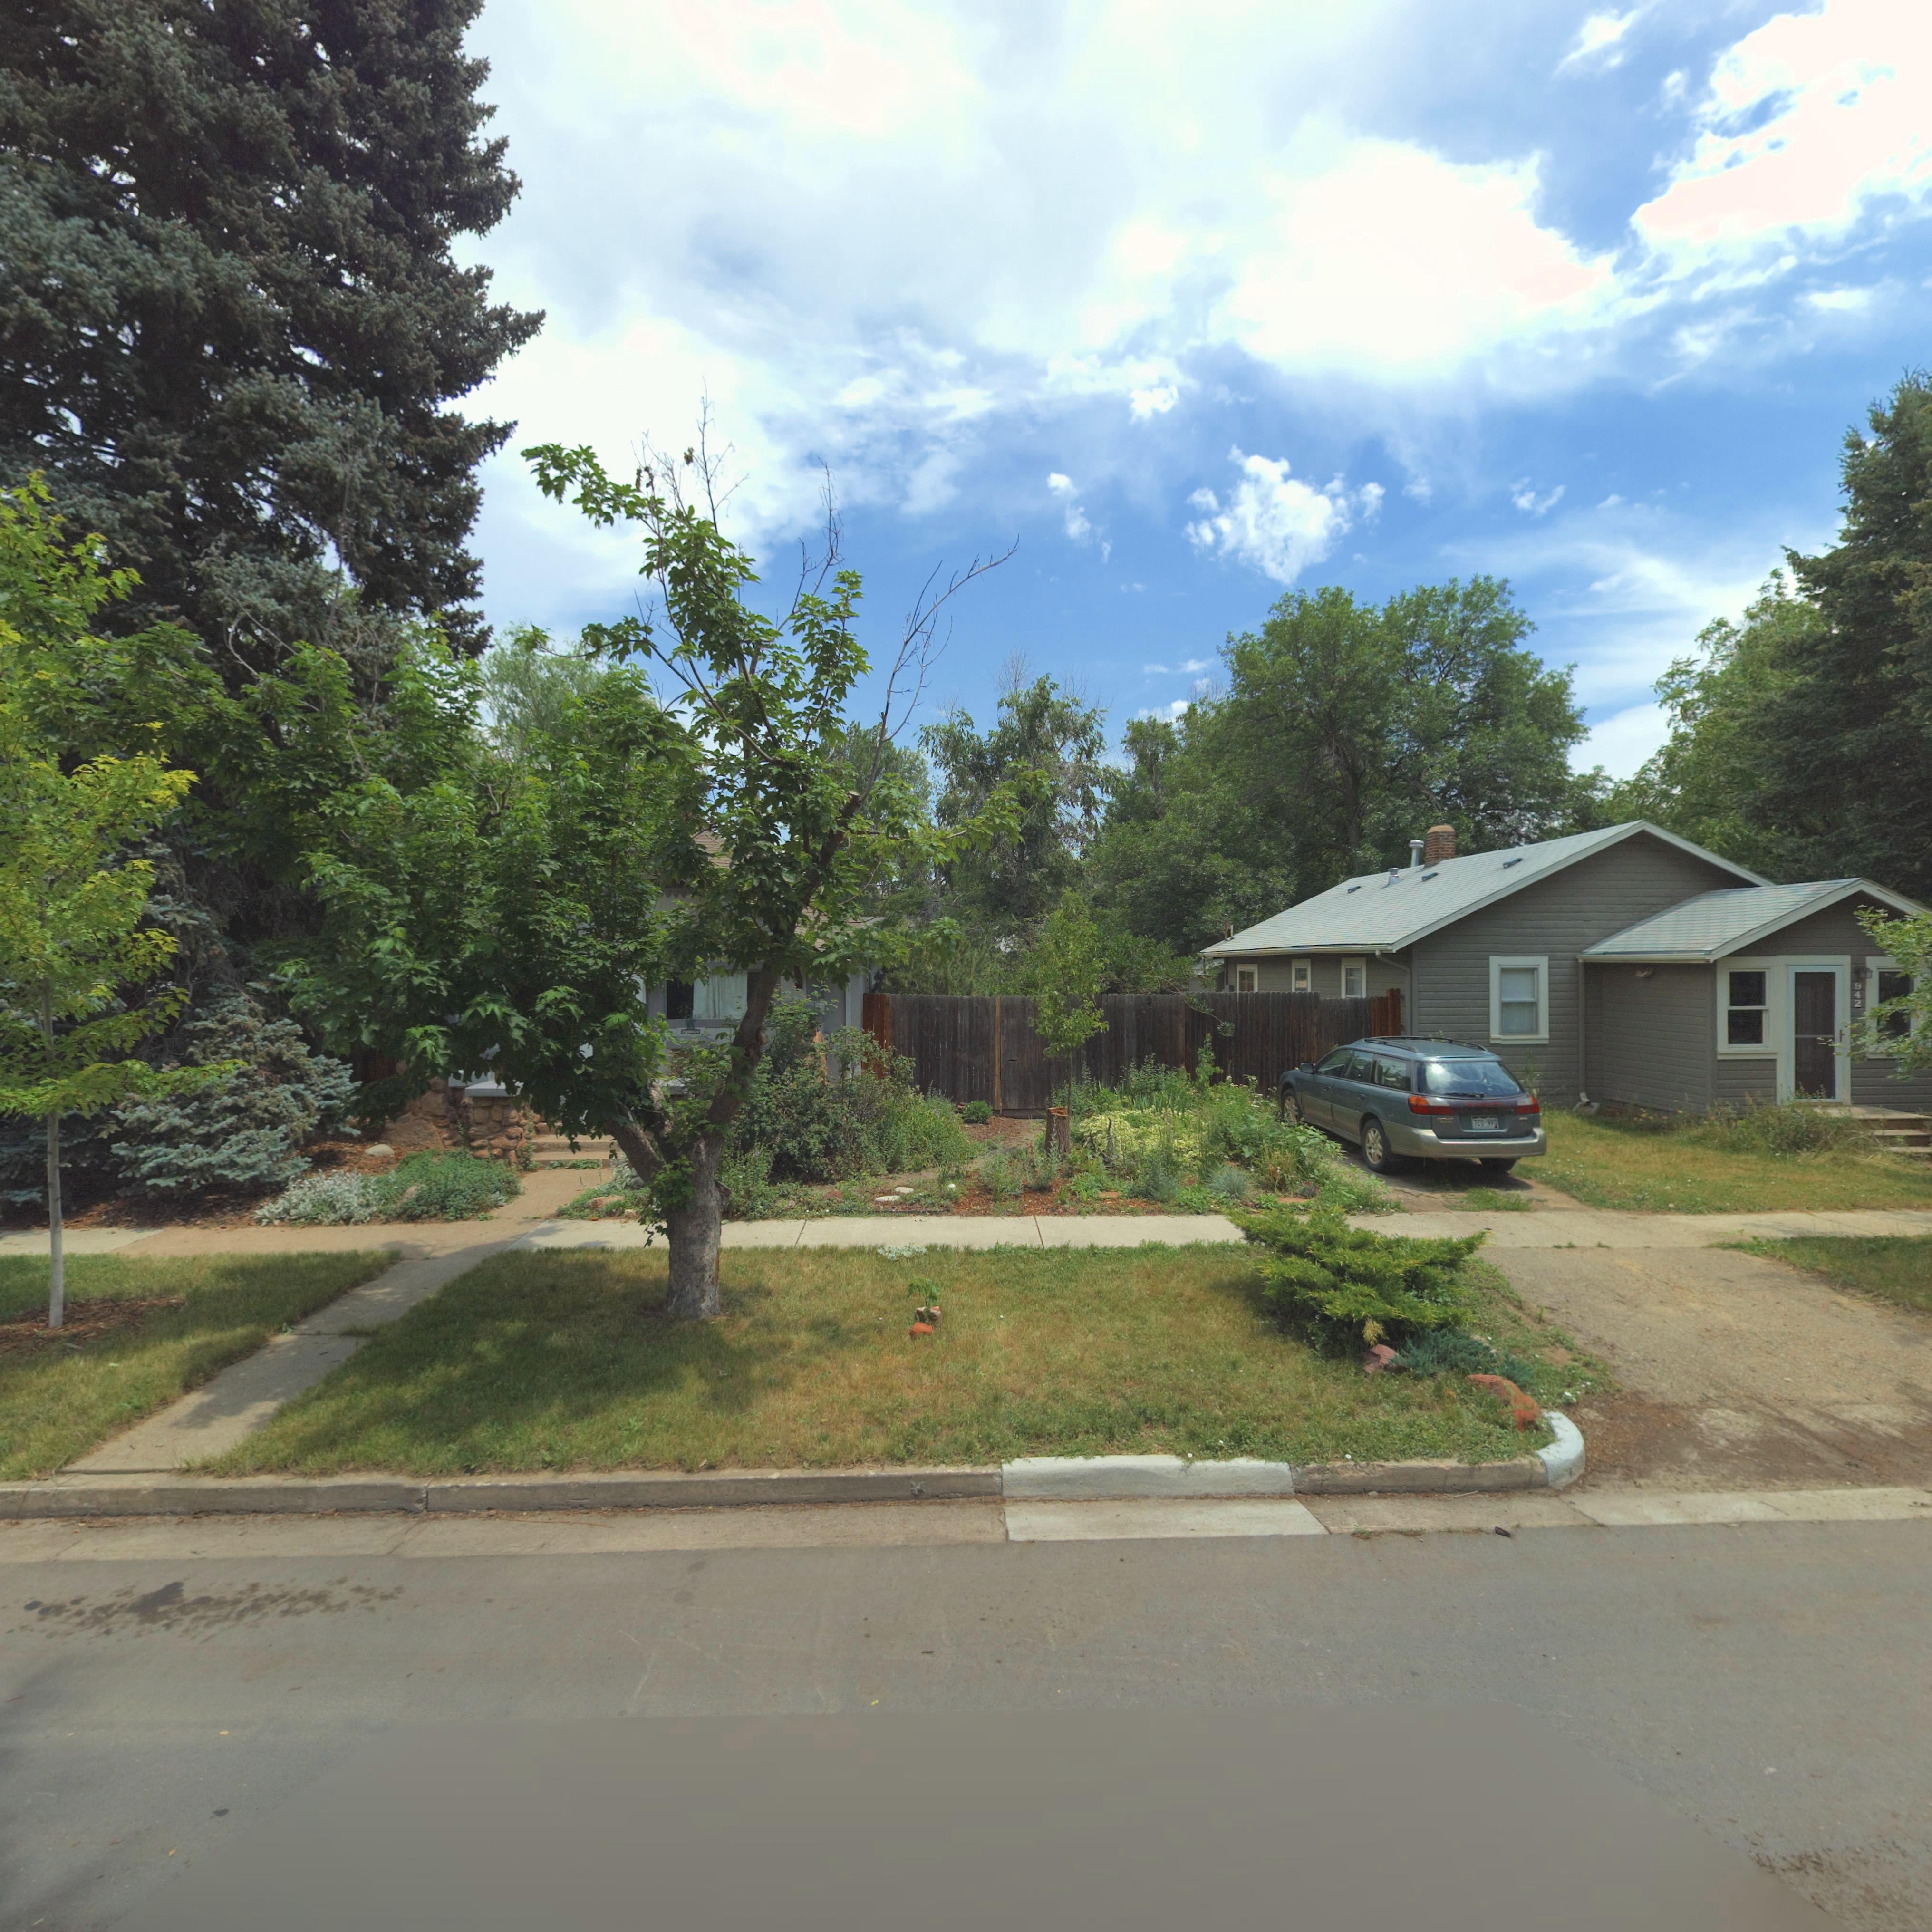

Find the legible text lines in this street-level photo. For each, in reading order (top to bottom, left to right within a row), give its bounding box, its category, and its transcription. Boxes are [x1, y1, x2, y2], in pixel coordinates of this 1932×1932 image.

[1853, 982, 1862, 1007] StreetNumber: 942